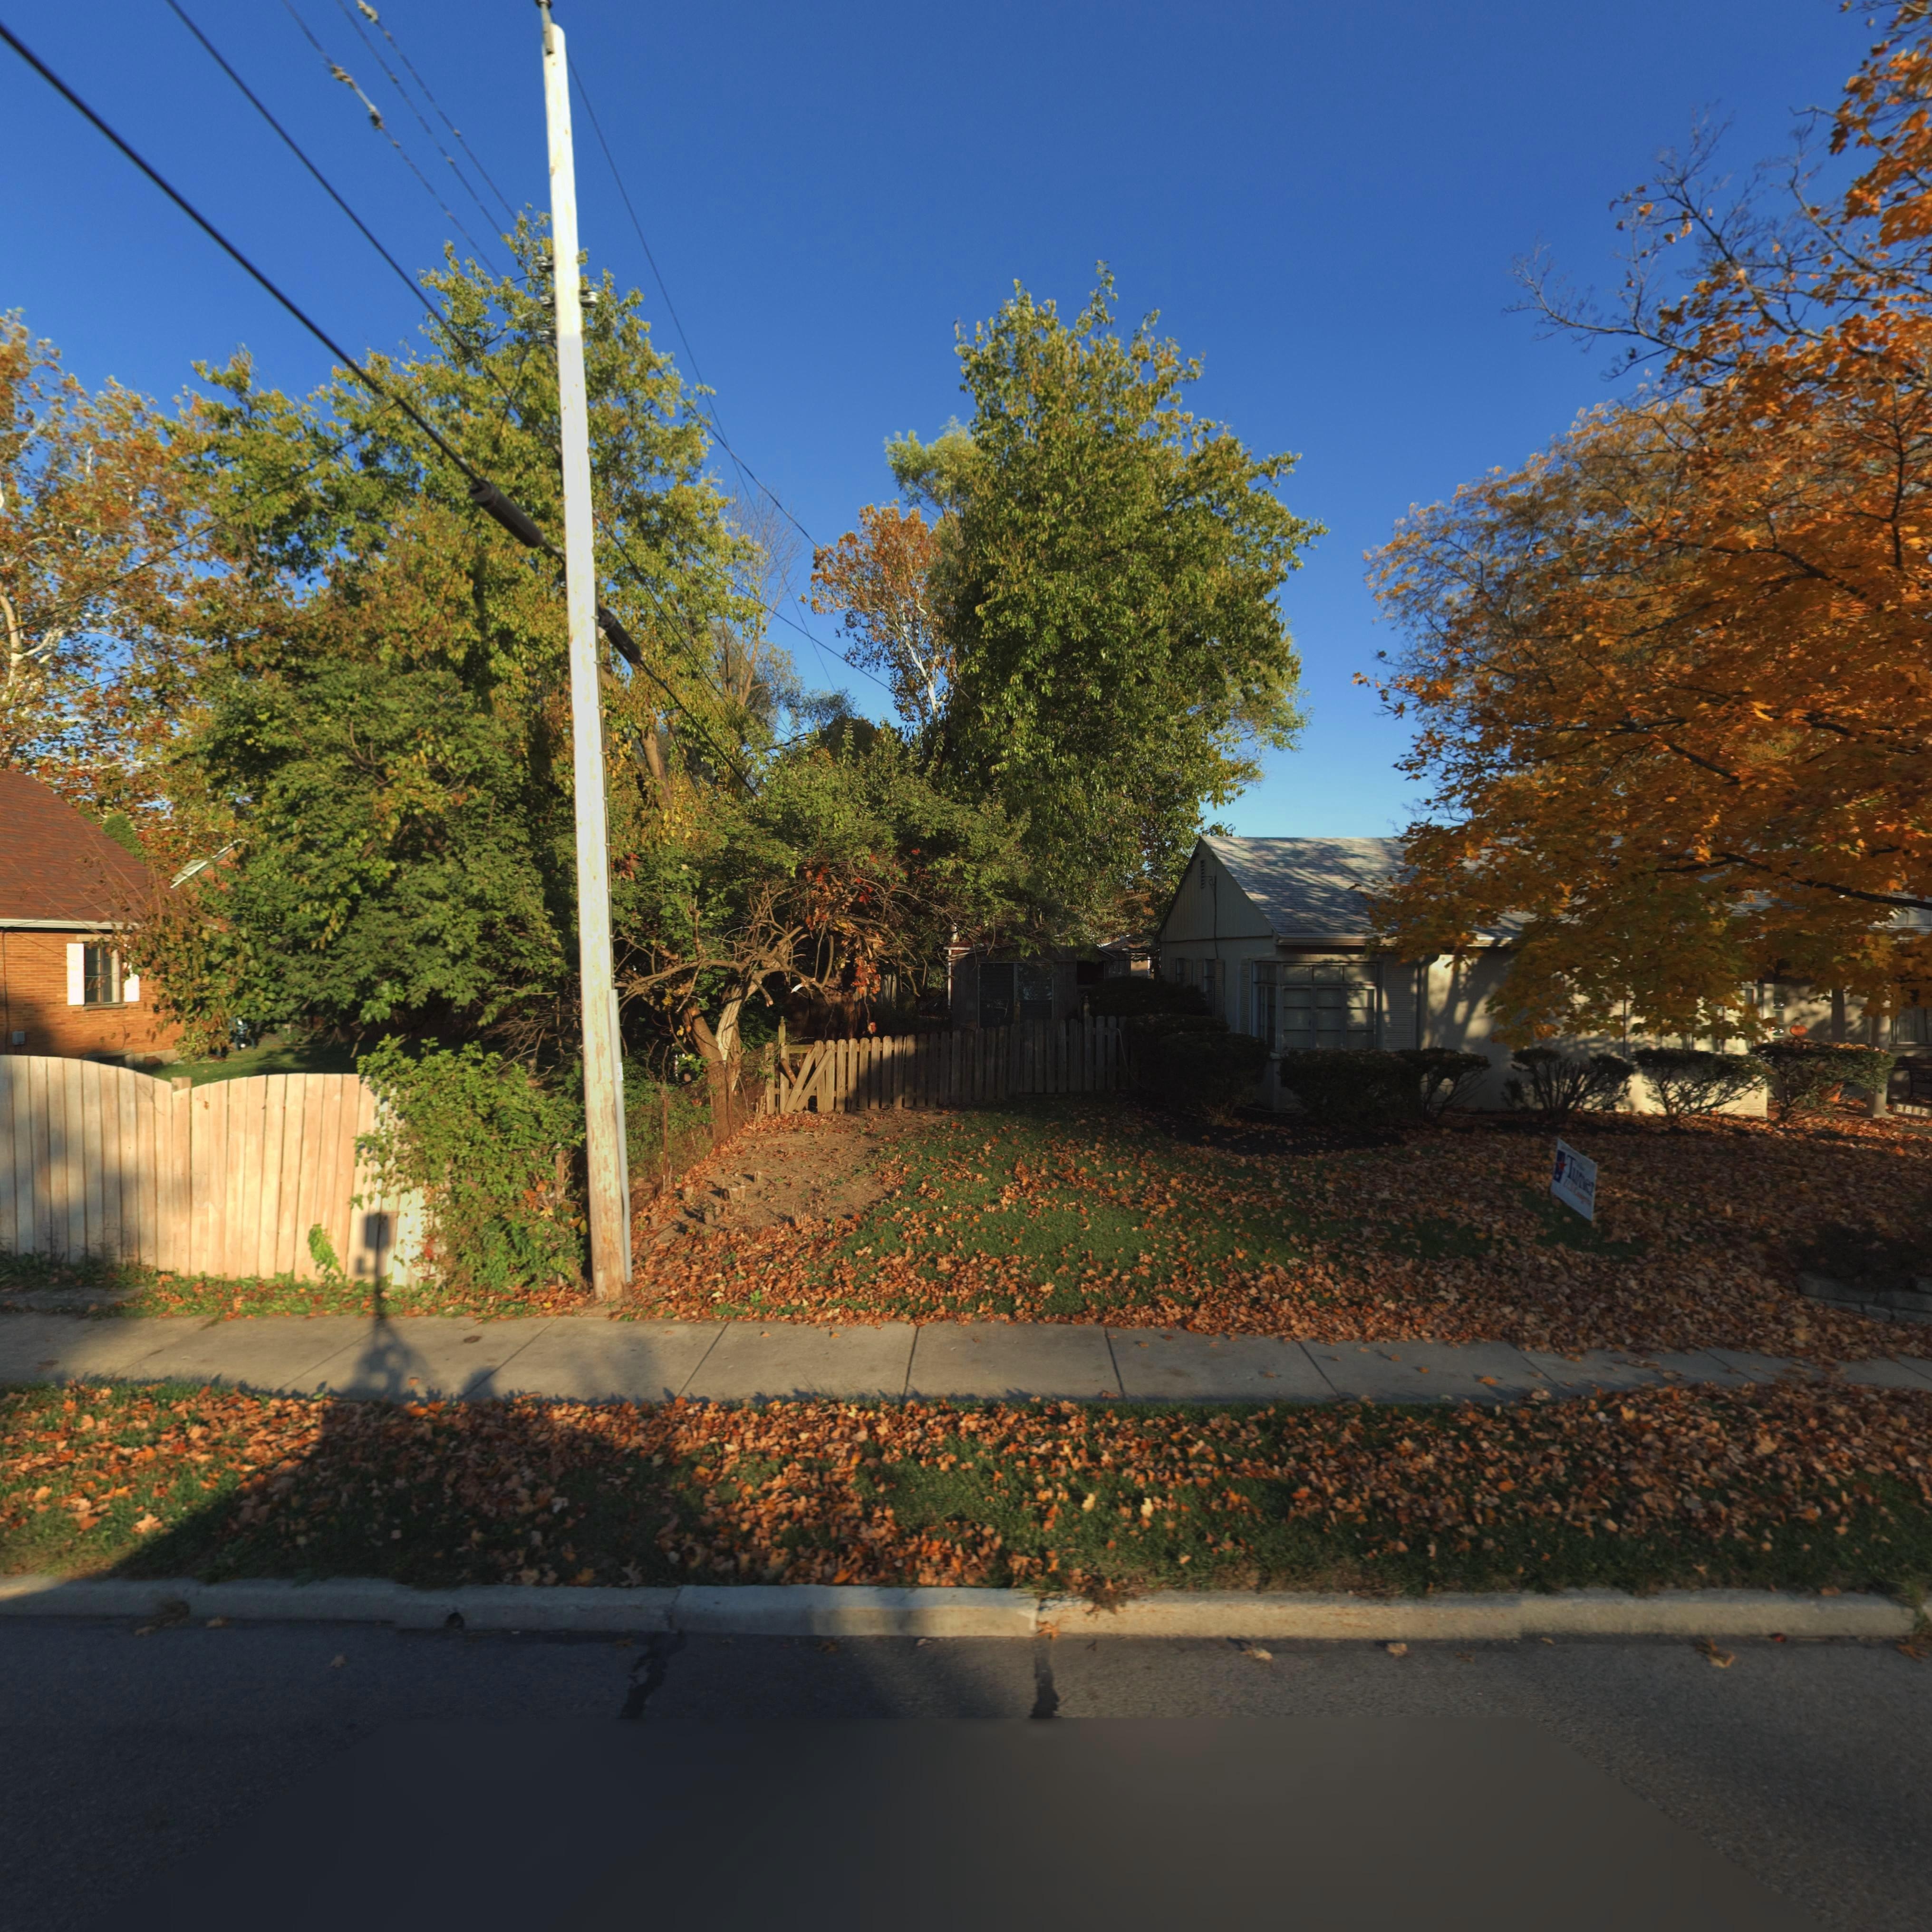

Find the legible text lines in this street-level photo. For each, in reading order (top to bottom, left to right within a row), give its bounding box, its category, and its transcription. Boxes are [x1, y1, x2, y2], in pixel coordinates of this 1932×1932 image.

[1895, 1103, 1928, 1117] StreetNumber: 3812